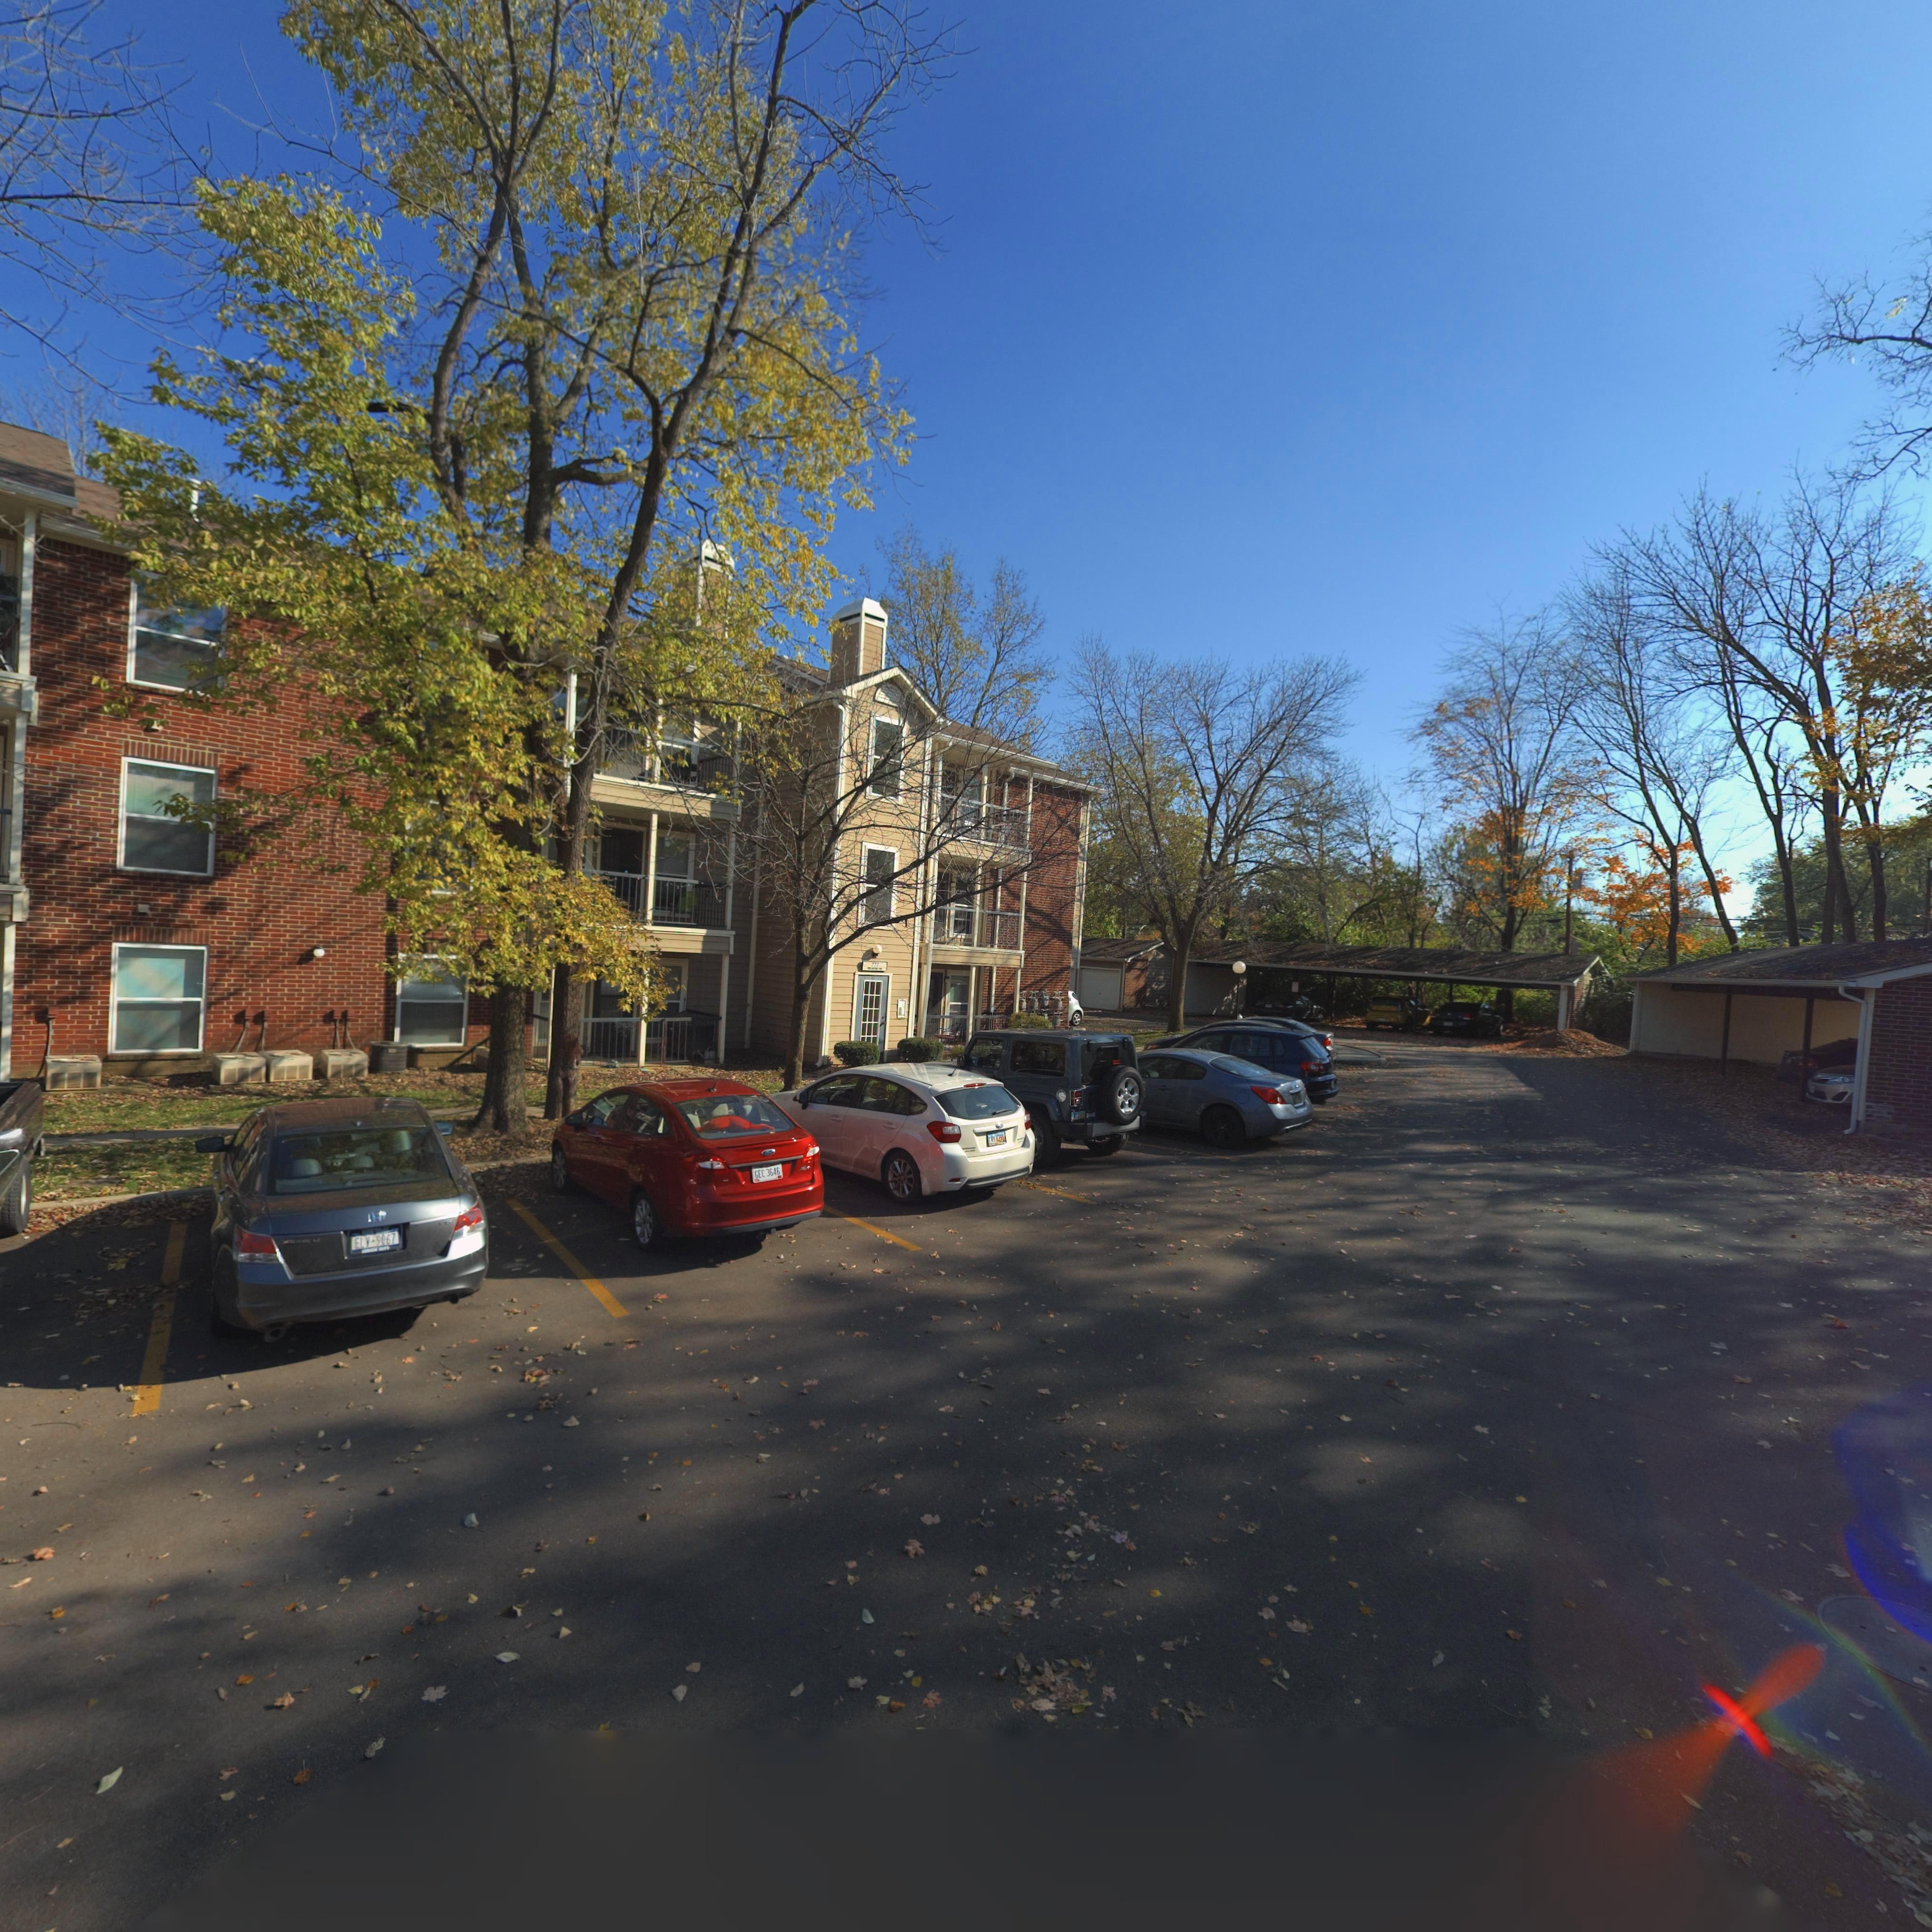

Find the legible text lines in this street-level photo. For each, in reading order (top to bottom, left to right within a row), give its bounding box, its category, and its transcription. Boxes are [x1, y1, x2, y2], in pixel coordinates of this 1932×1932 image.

[869, 961, 880, 968] StreetNumber: 777
[752, 1166, 781, 1180] None: GEC 3646
[354, 1231, 397, 1249] None: ELV-9067